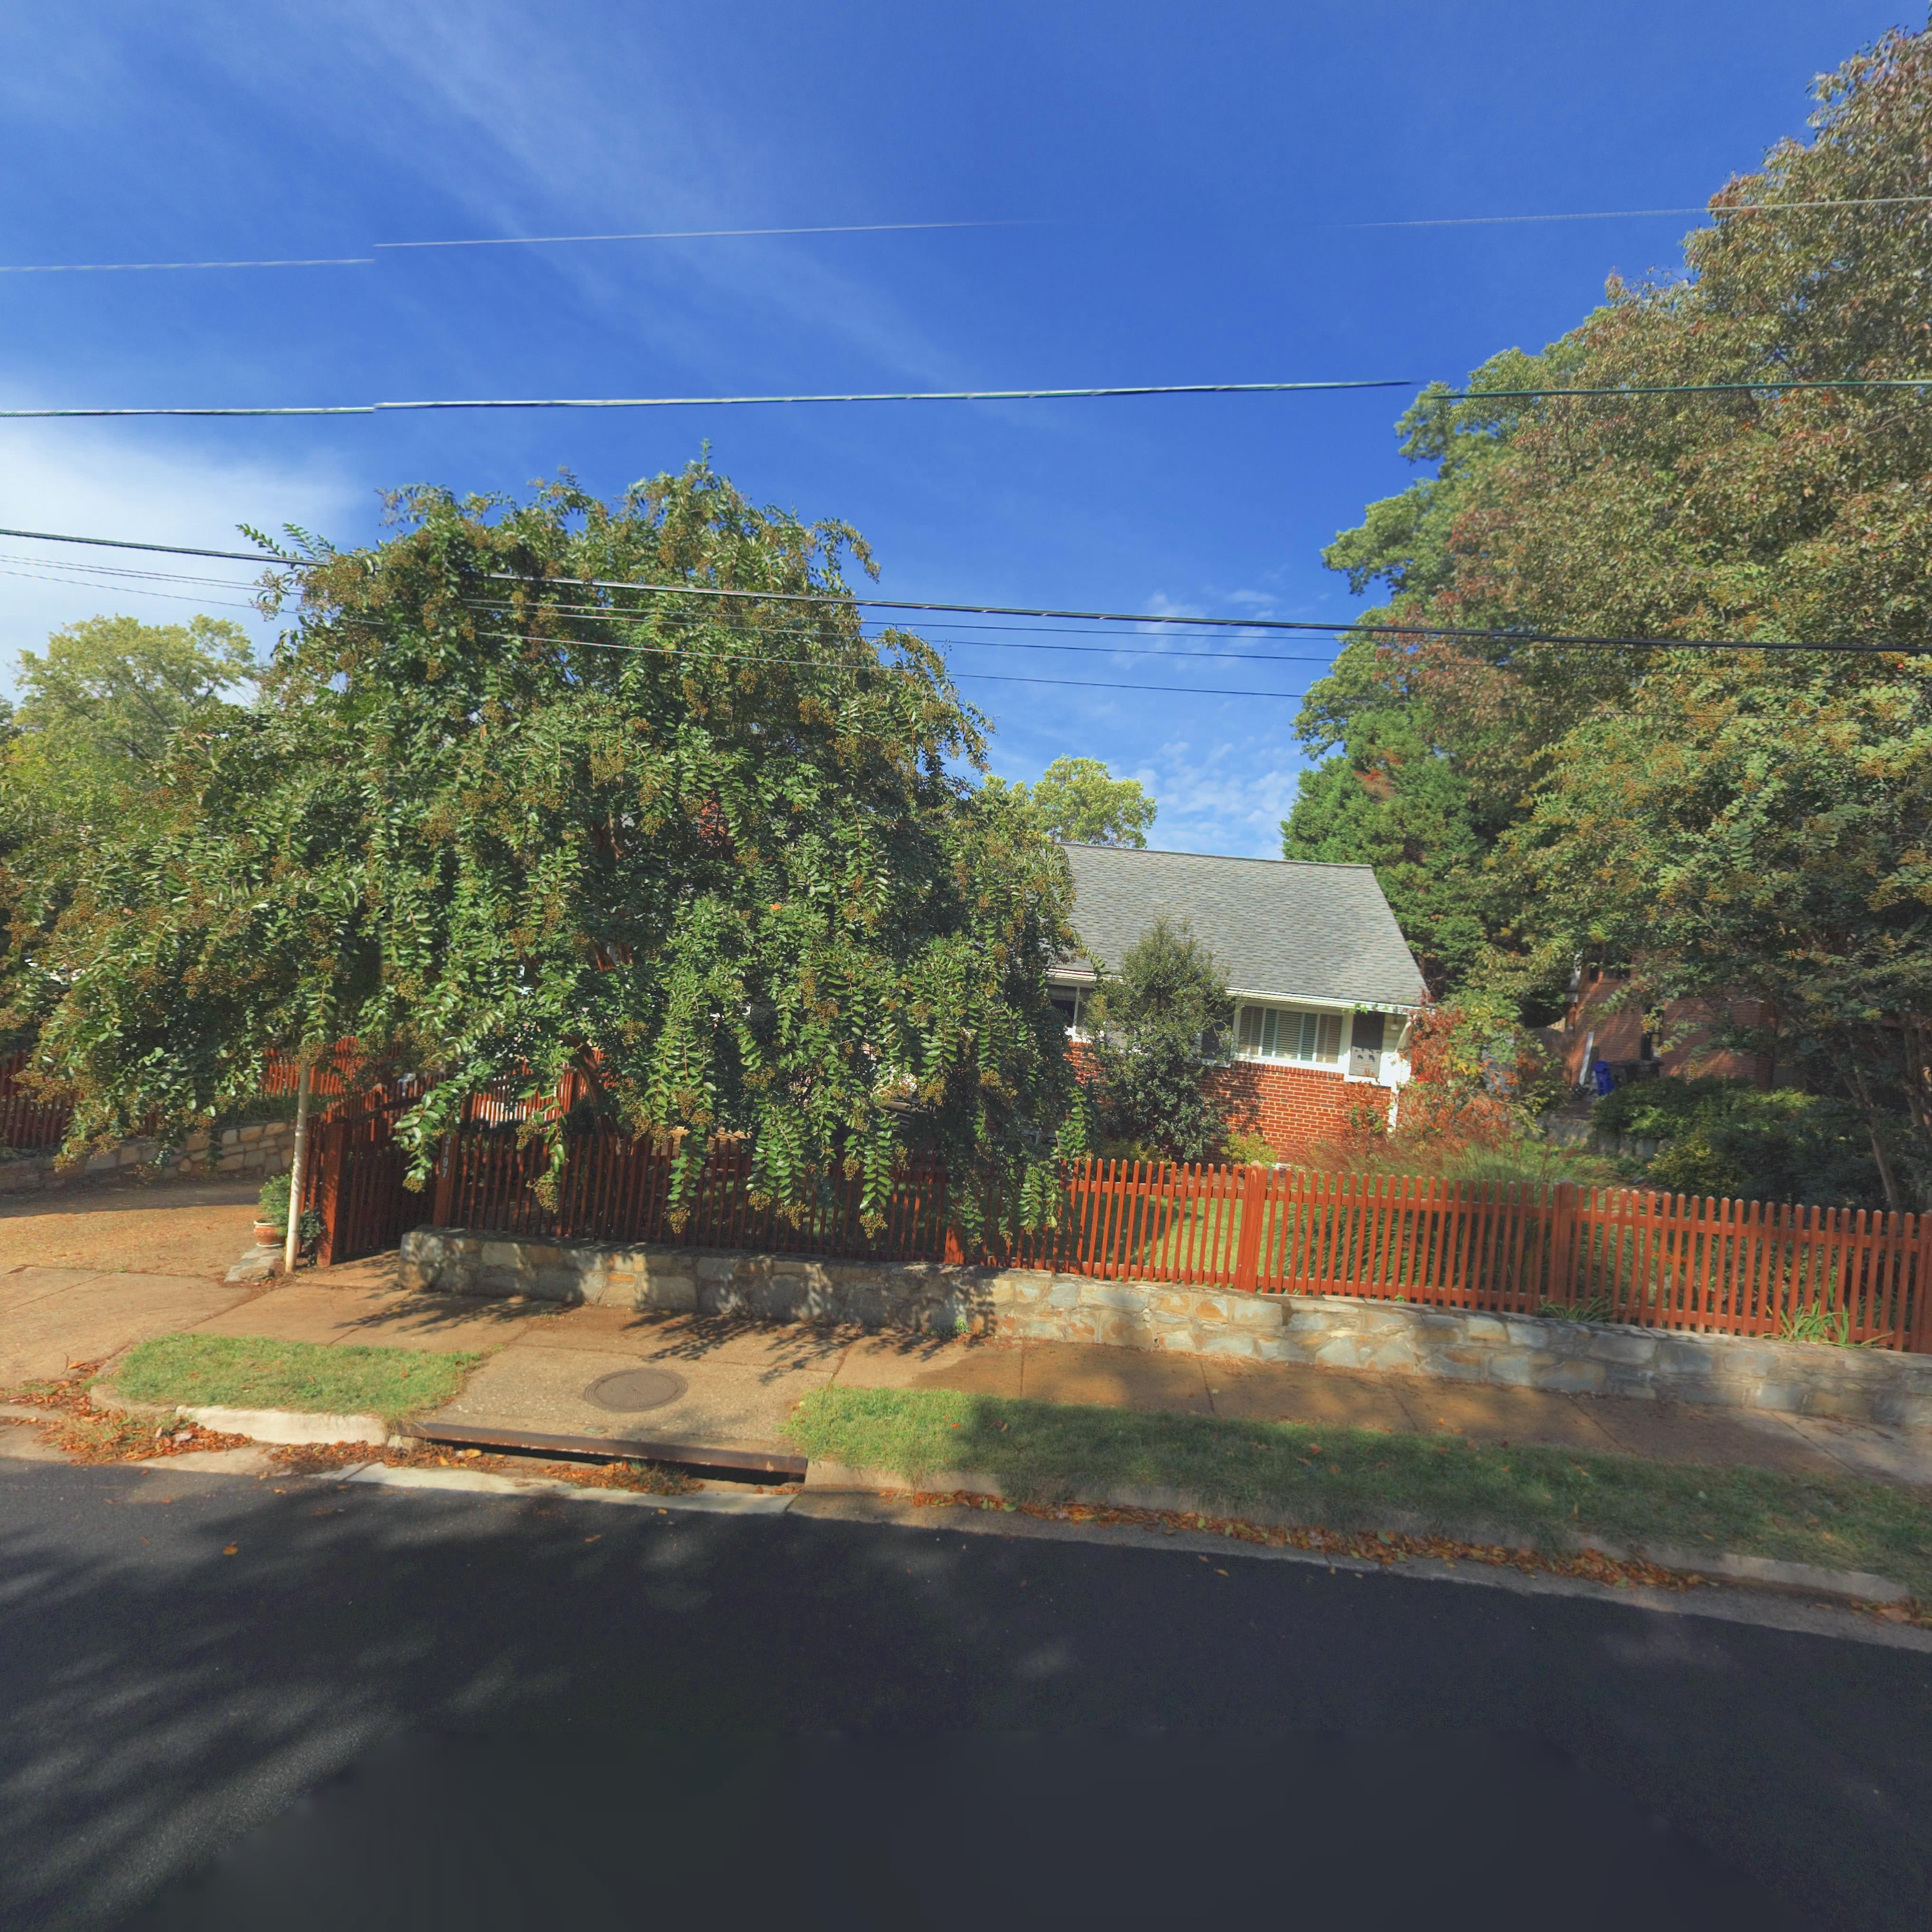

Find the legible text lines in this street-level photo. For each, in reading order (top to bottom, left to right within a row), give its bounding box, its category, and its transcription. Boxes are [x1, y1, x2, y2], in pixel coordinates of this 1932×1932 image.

[440, 1133, 453, 1180] StreetNumber: 3197